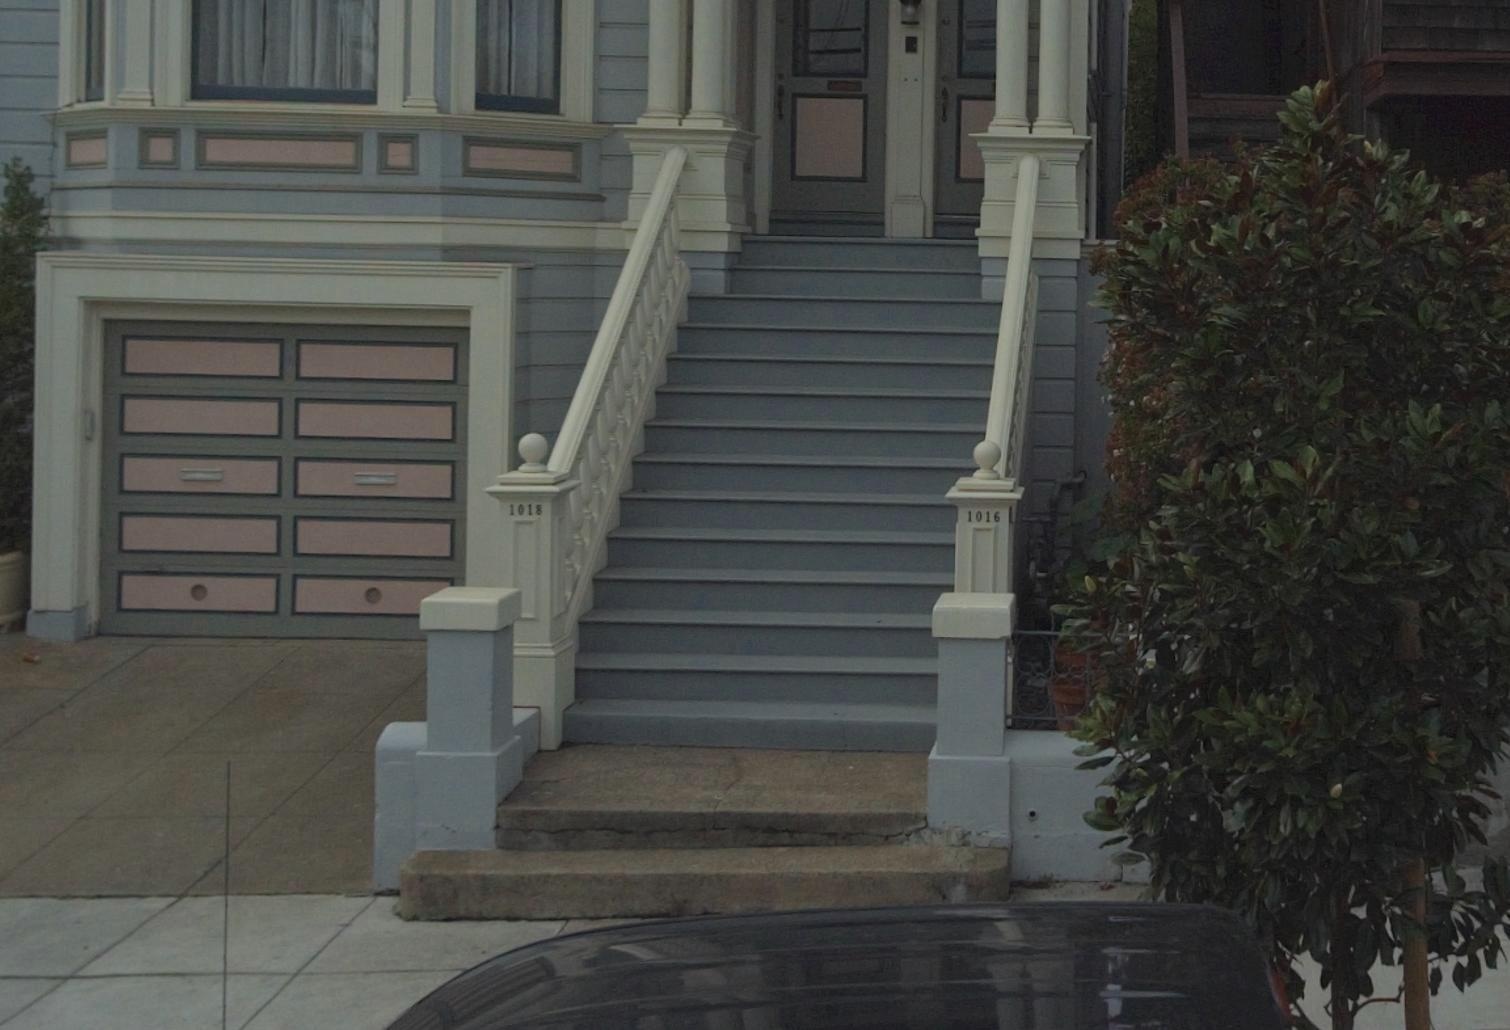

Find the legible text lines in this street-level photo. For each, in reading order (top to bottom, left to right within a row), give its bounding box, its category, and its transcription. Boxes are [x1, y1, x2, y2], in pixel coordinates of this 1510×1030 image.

[507, 502, 544, 517] StreetNumber: 1018
[966, 509, 1003, 525] StreetNumber: 1016